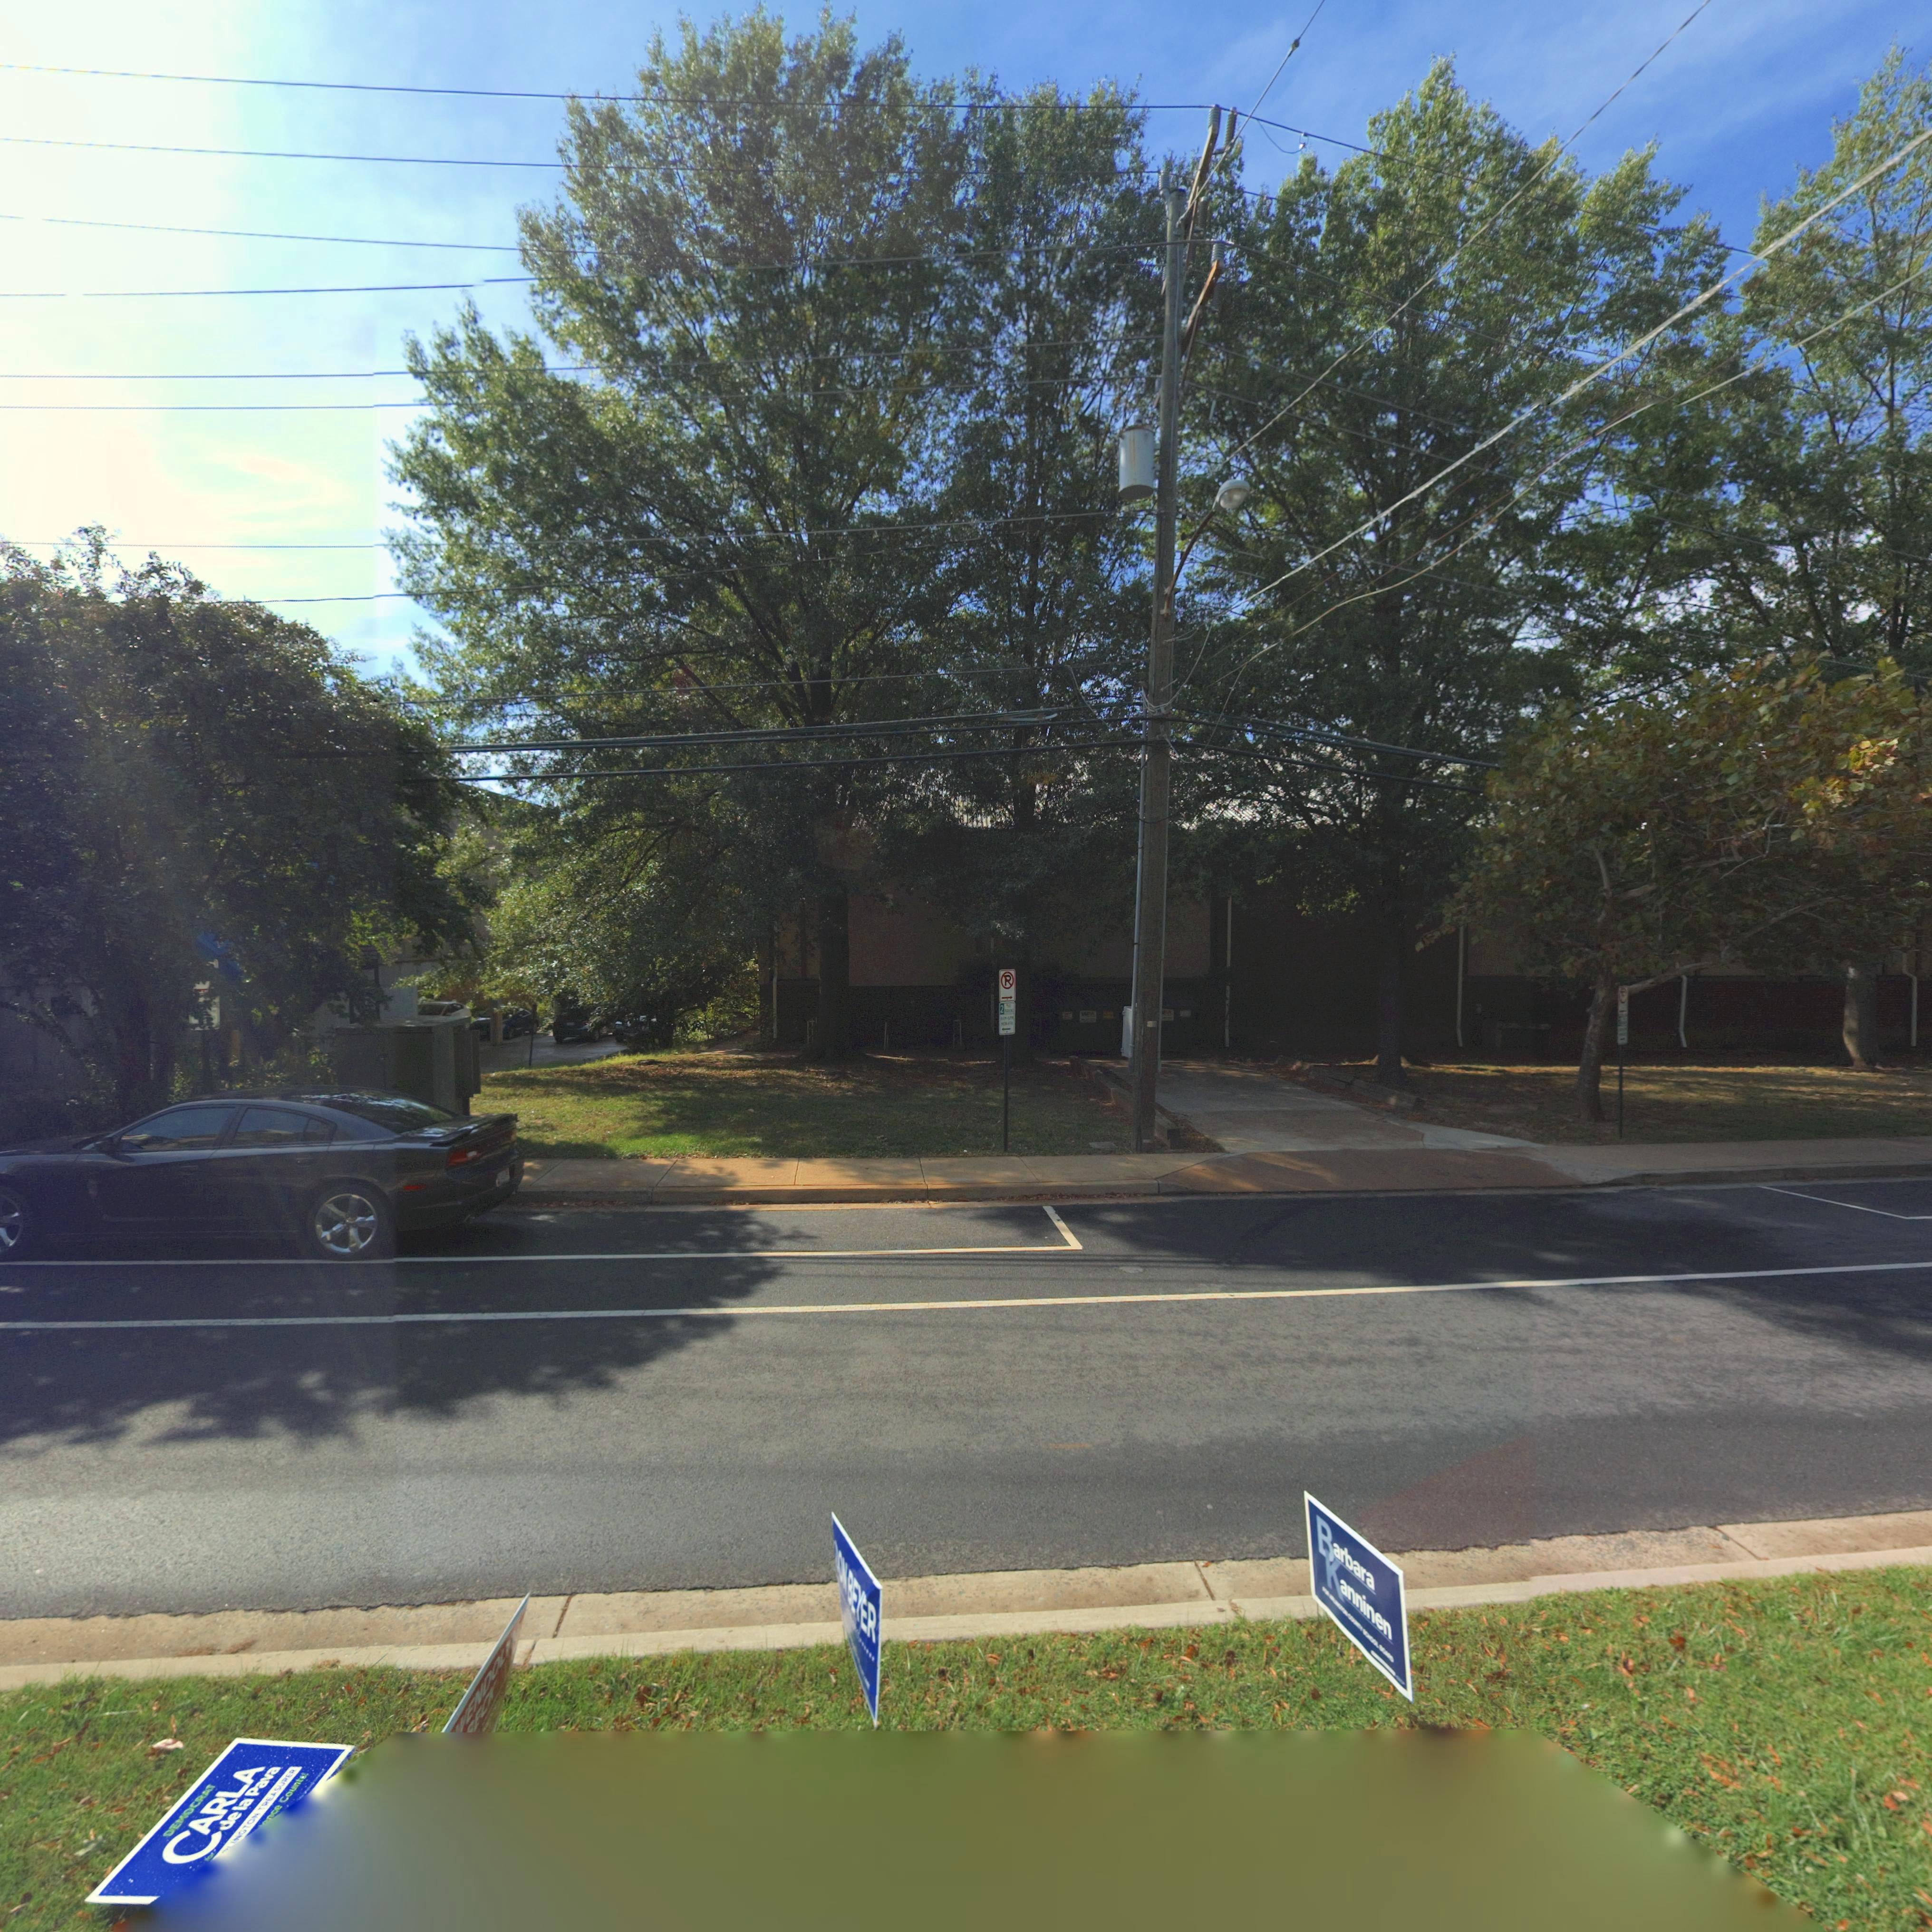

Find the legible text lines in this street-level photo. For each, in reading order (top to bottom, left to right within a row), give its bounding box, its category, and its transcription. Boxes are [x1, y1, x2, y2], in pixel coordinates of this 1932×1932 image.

[1000, 1005, 1004, 1013] None: 2
[1000, 1021, 1014, 1026] None: MON-FRI
[1081, 1011, 1096, 1016] None: WM
[1163, 1010, 1173, 1015] None: M
[1315, 1513, 1375, 1593] None: Barbara
[846, 1568, 877, 1646] None: BEYER
[1324, 1548, 1392, 1642] None: Kanninen
[473, 1690, 489, 1736] None: EC
[465, 1646, 506, 1729] None: ENDOL
[161, 1782, 217, 1838] None: DEMOCRAT
[161, 1766, 267, 1865] None: CARLA
[218, 1767, 282, 1832] None: de la Pava
[228, 1768, 299, 1845] None: INGTON TREASURER
[265, 1771, 310, 1820] None: nce Counts!